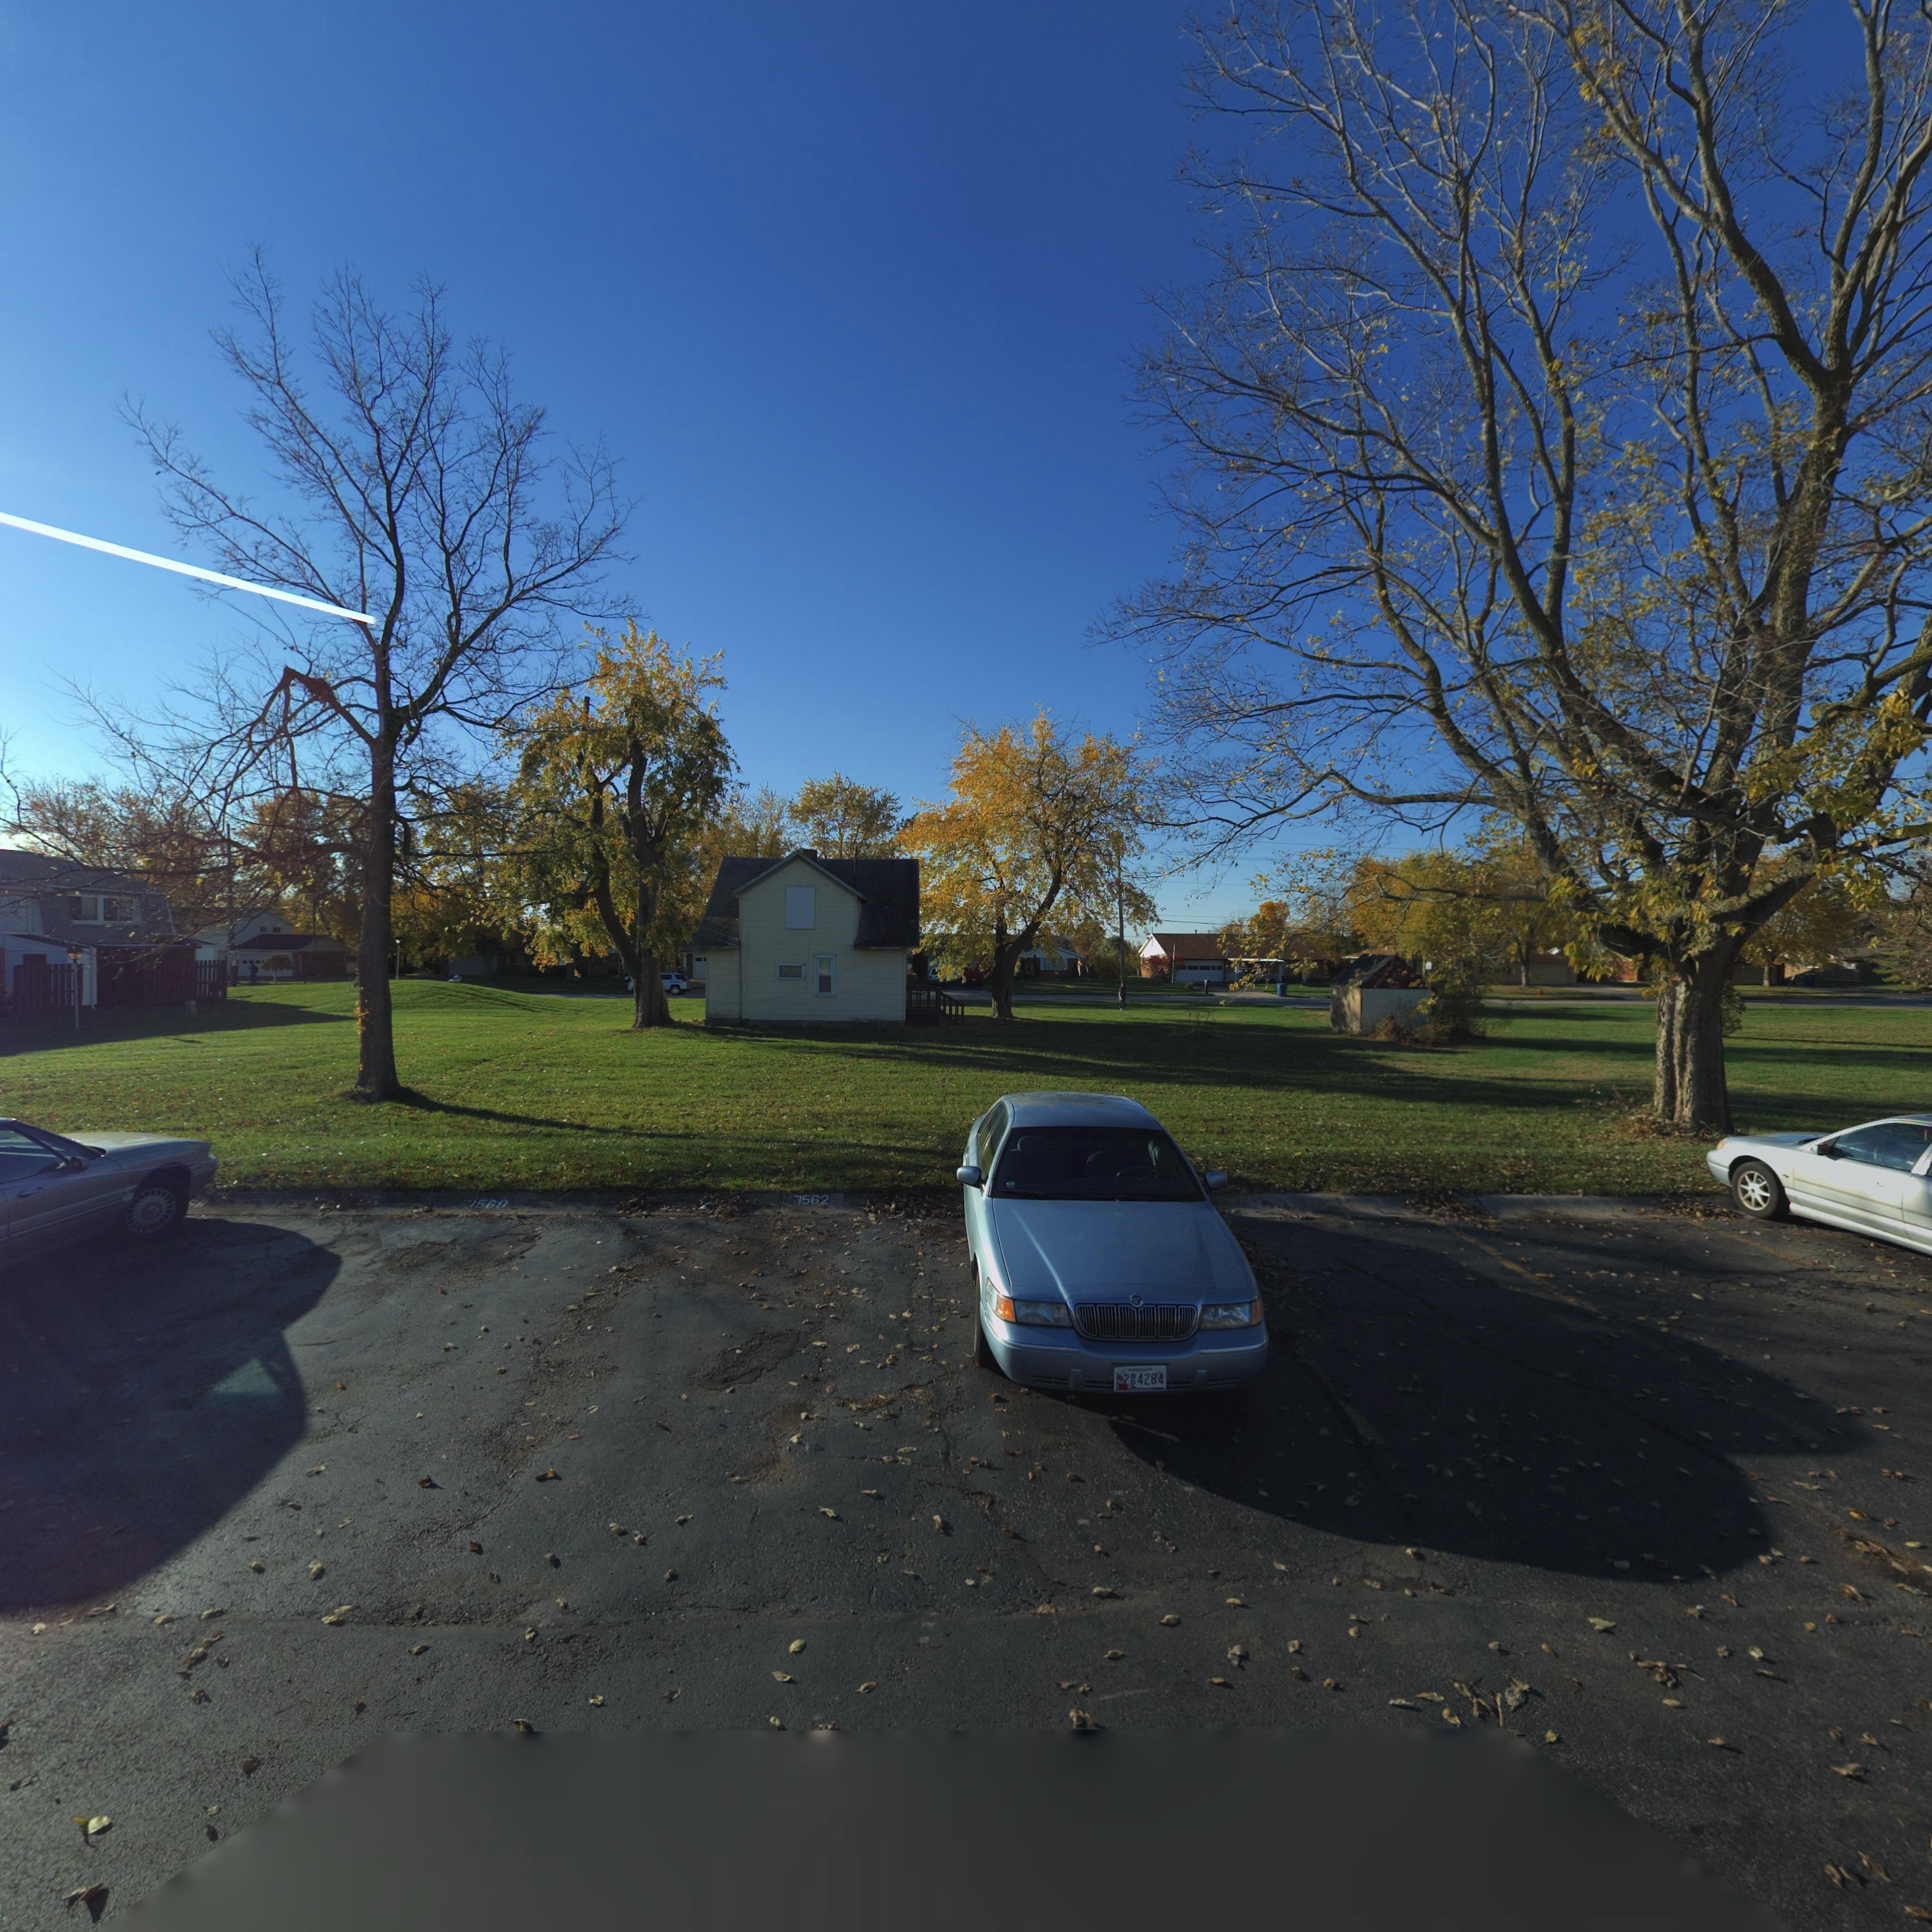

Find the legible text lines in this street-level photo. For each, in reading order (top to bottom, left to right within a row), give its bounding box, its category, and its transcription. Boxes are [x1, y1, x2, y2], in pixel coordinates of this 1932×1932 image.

[465, 1198, 510, 1210] StreetNumber: *560
[792, 1194, 831, 1207] StreetNumber: 7562